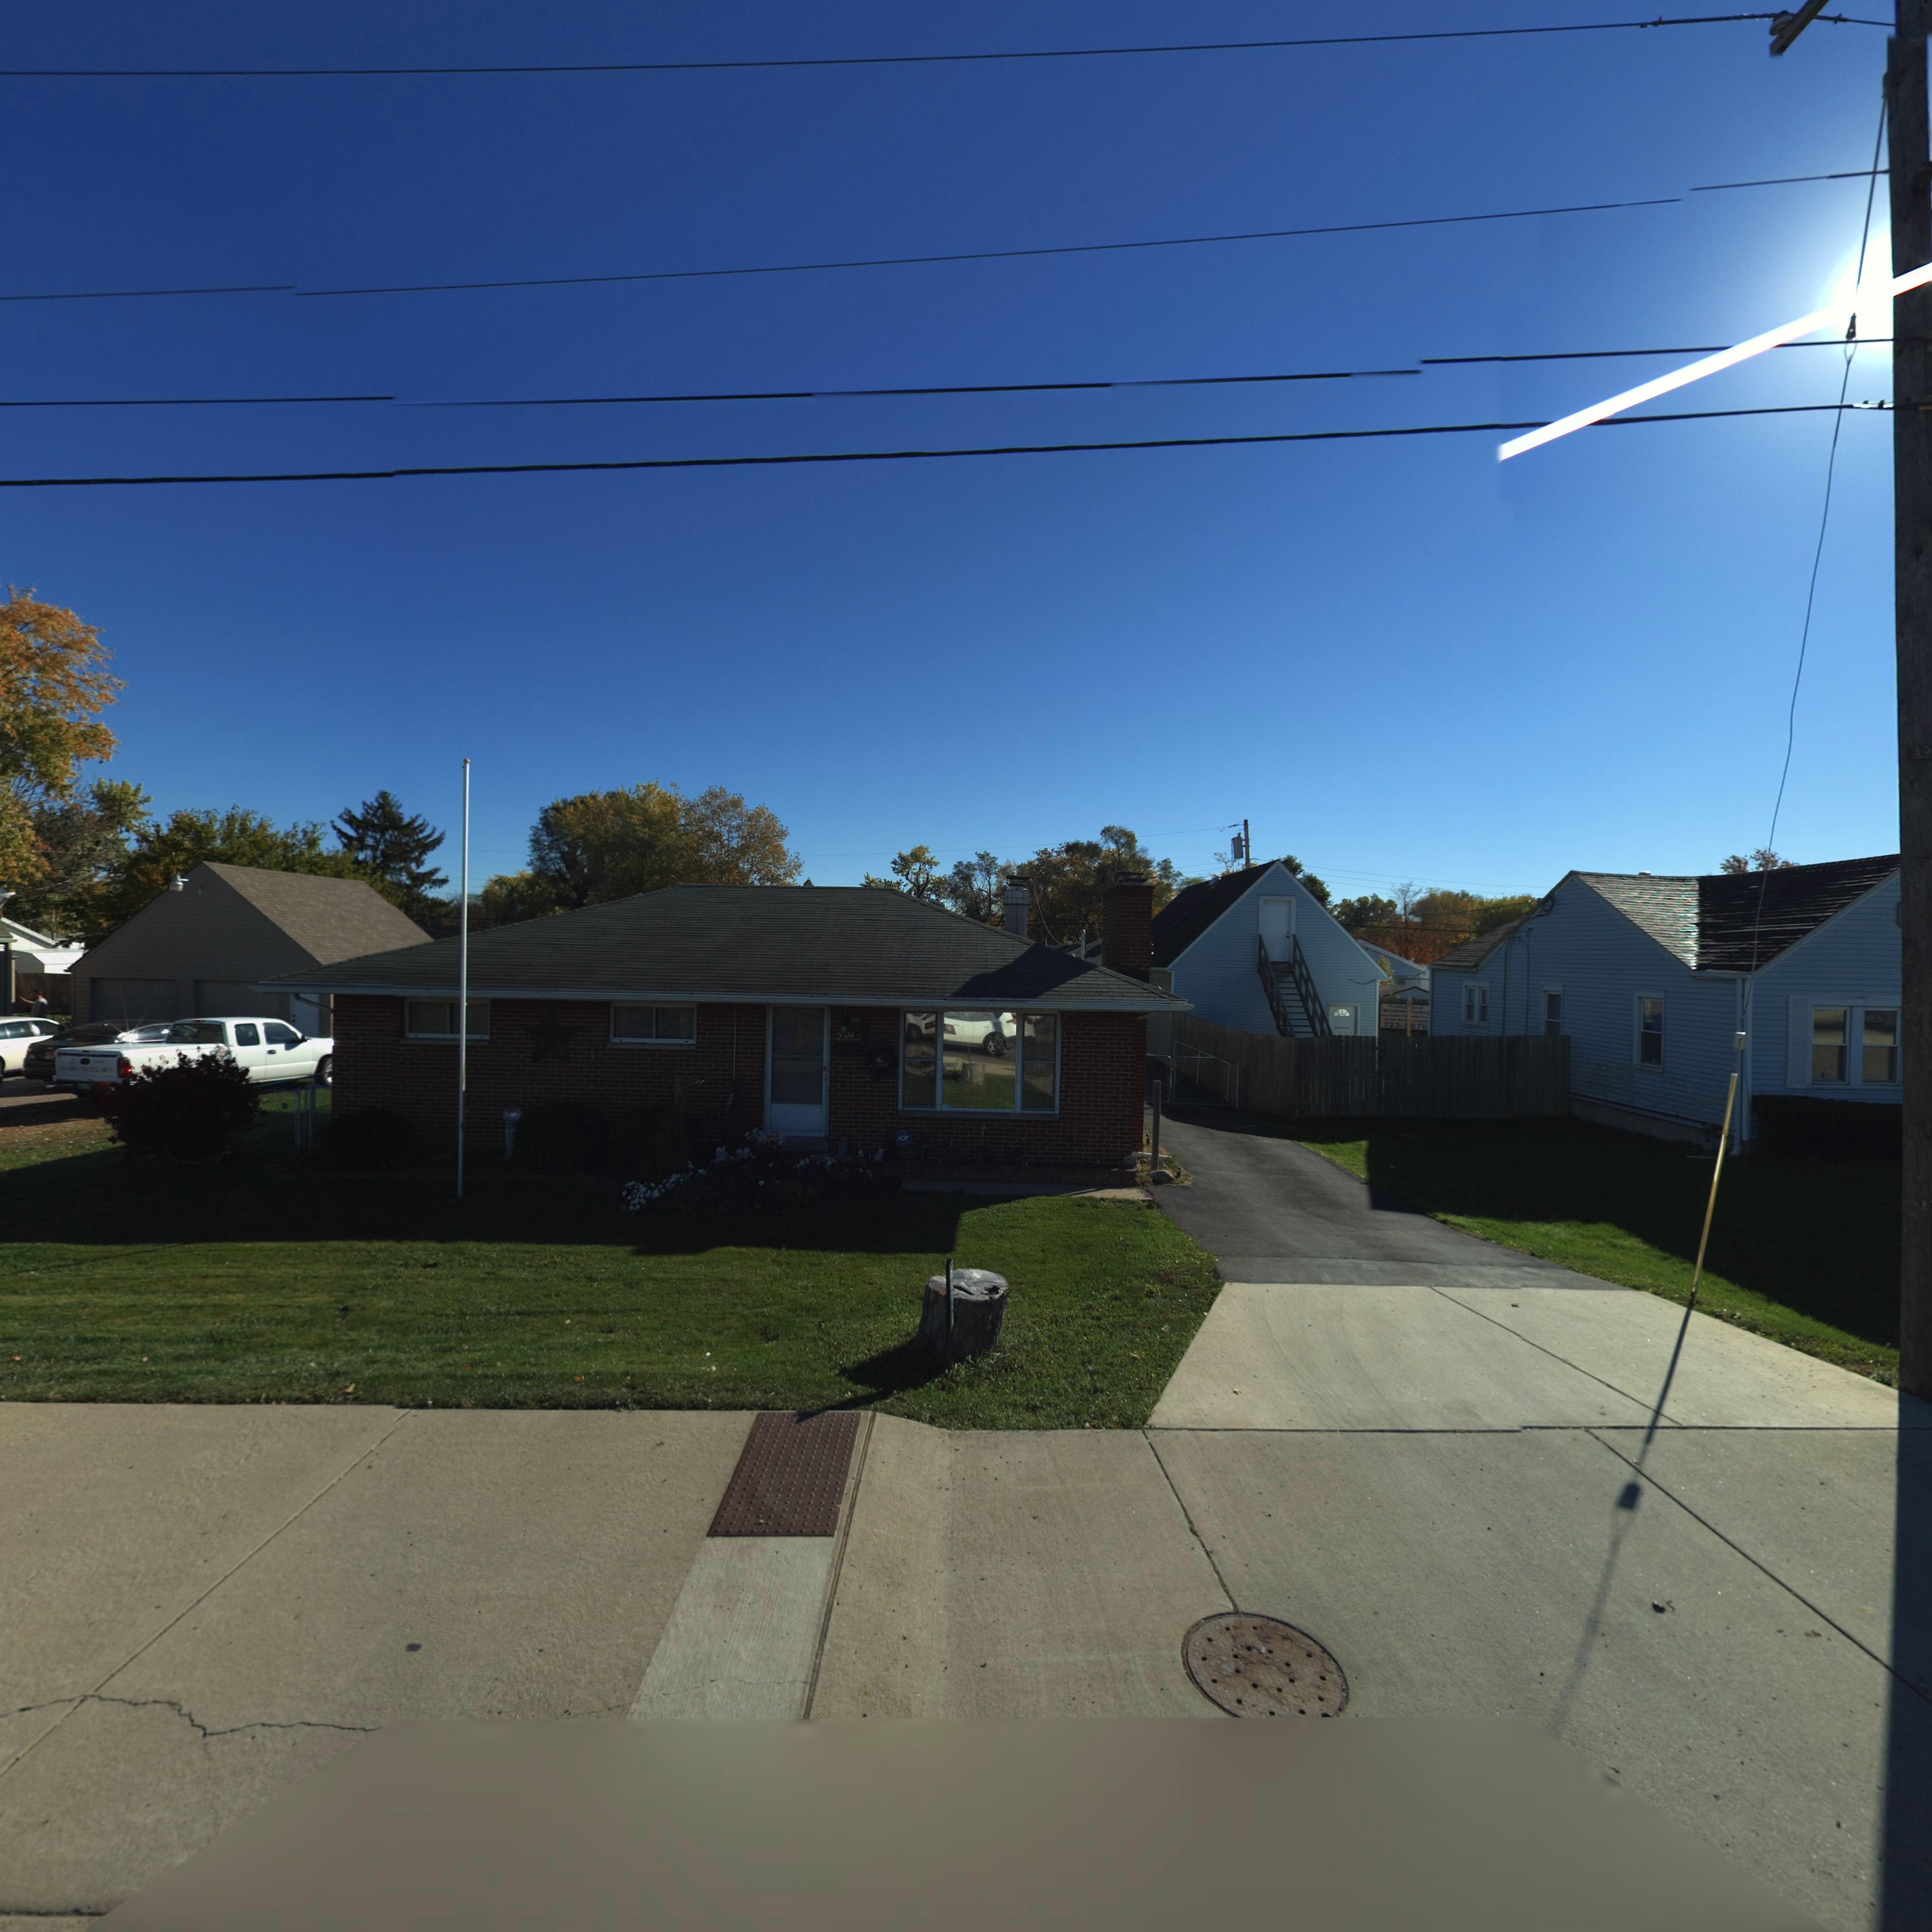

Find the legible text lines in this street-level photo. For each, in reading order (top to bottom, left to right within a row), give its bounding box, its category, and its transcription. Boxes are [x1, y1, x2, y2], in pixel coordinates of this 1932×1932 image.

[837, 1031, 855, 1039] StreetNumber: 5324